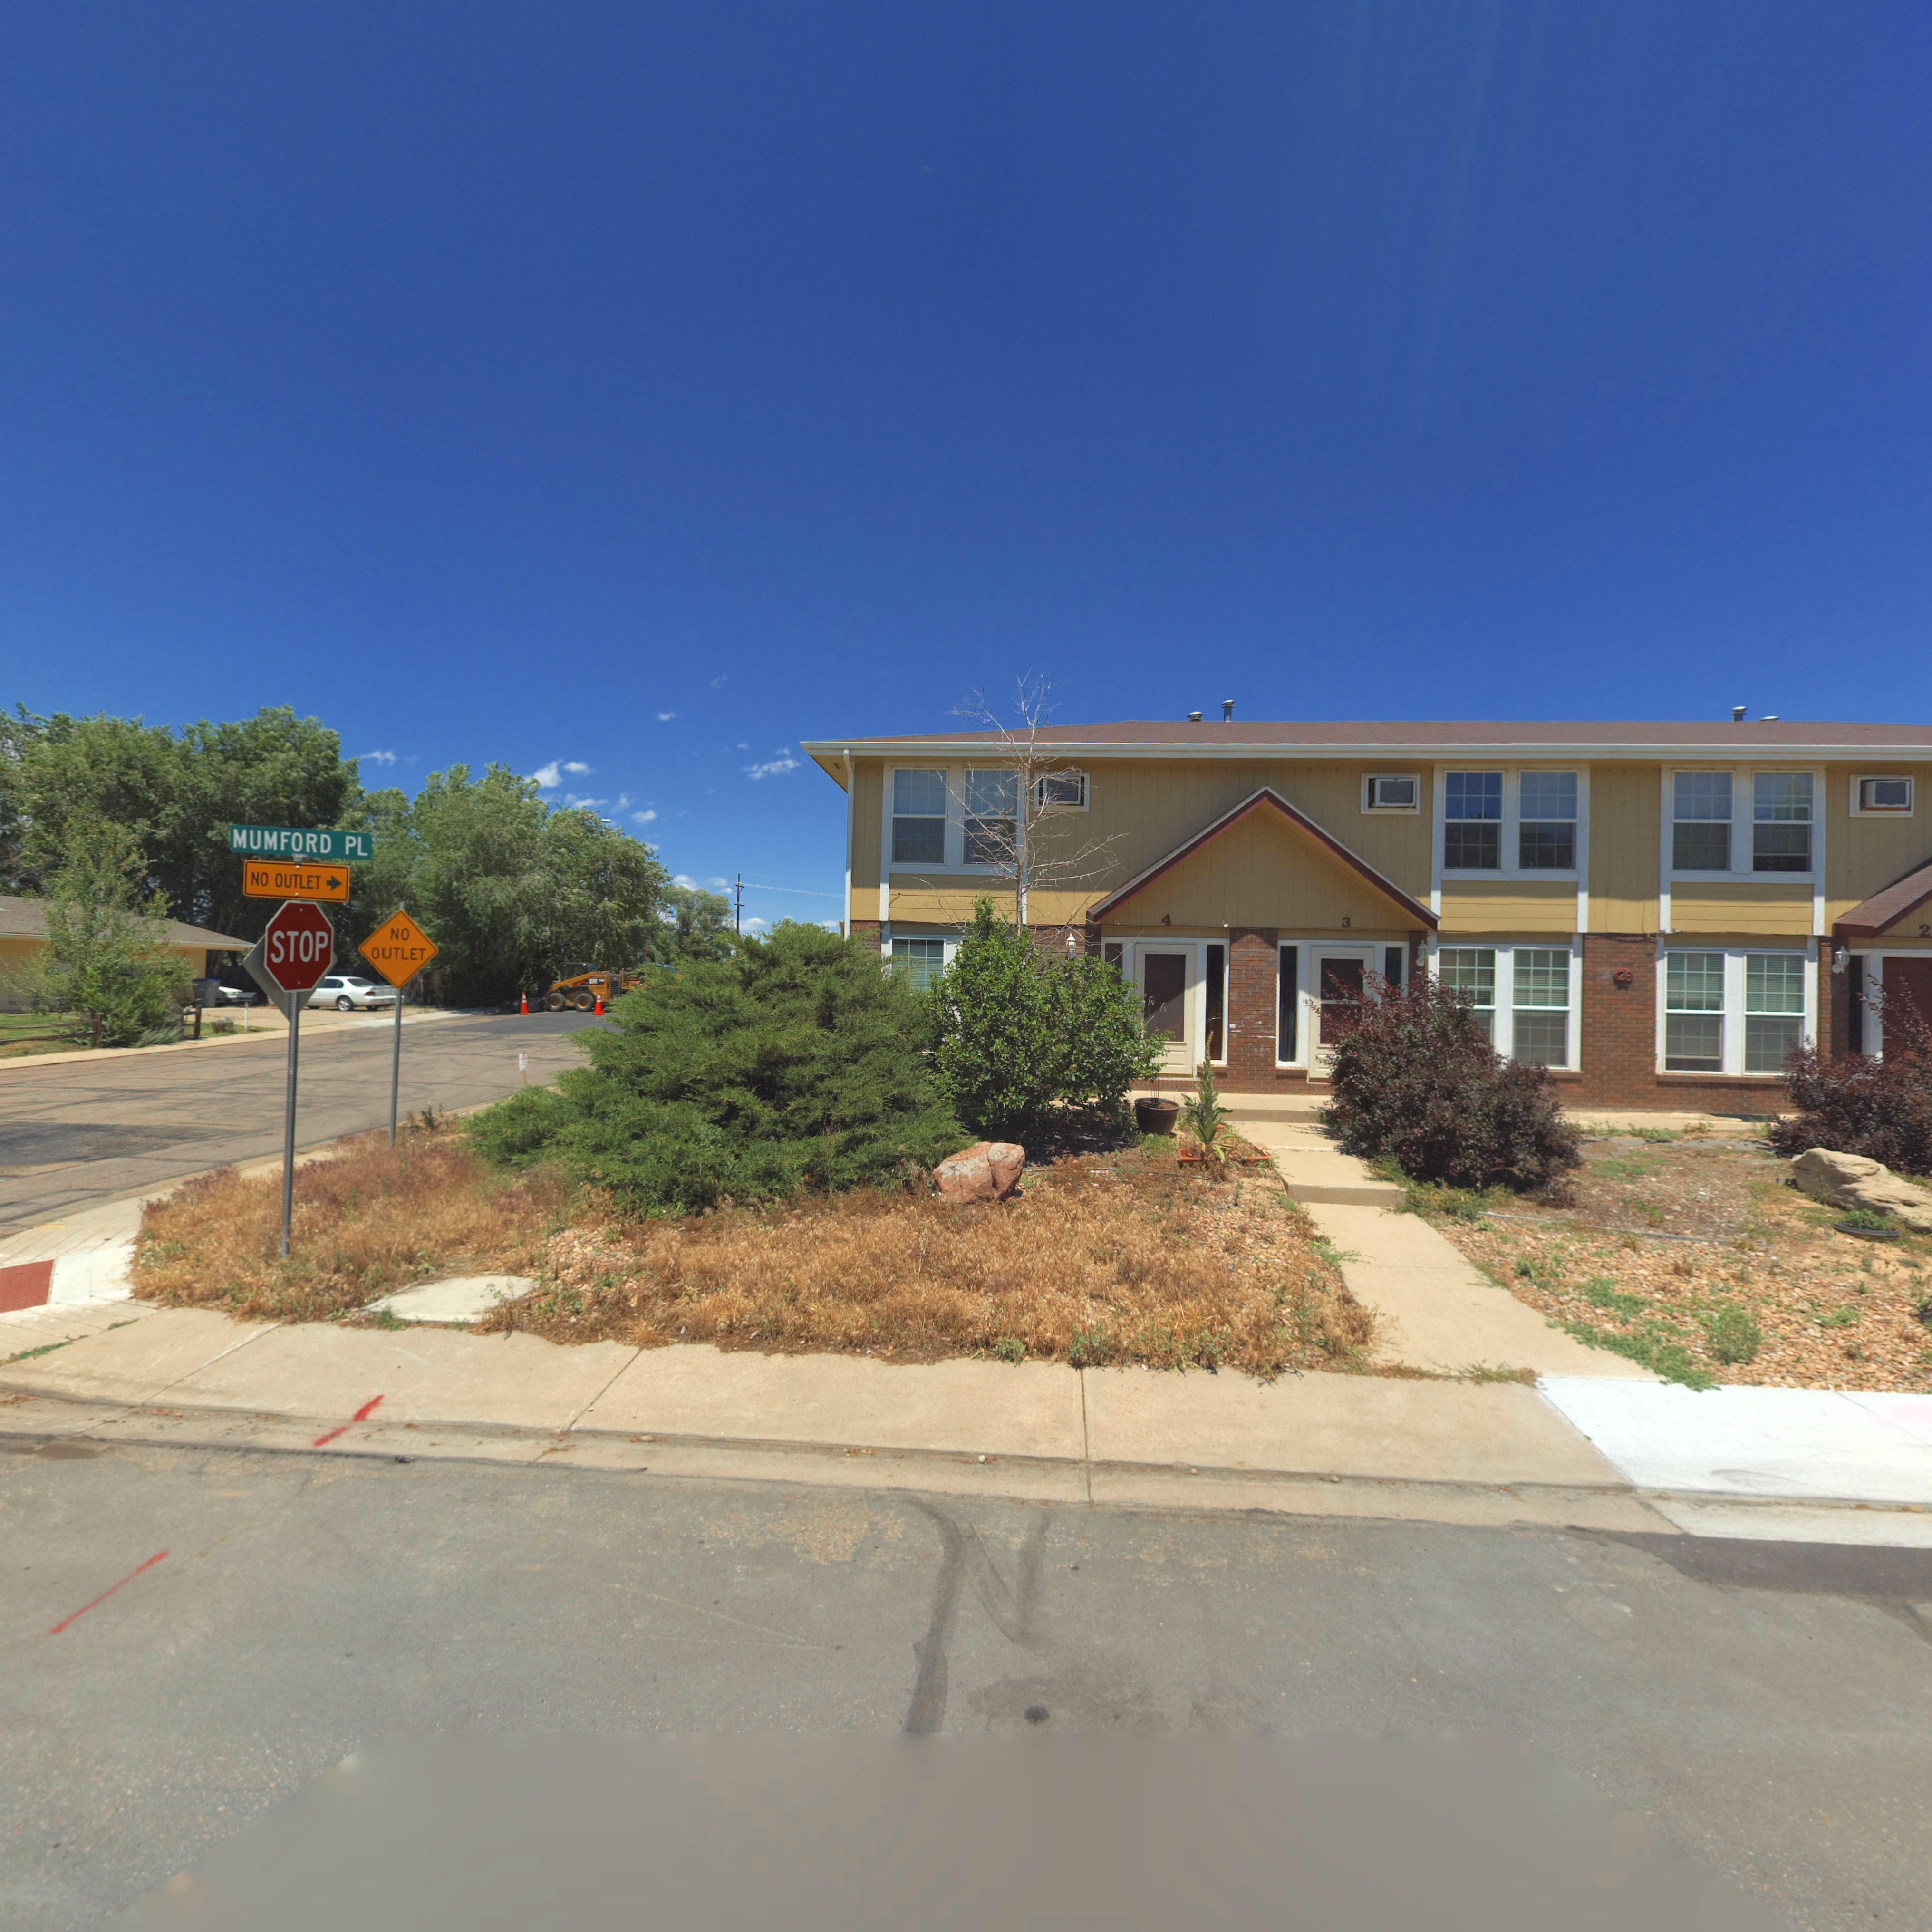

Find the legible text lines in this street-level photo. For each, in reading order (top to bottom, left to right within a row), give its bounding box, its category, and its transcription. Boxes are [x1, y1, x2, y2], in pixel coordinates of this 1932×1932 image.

[231, 825, 369, 856] StreetName: MUMFORD PL
[1159, 912, 1172, 927] StreetNumber: 4
[1341, 915, 1351, 928] StreetNumber: 3
[1916, 923, 1932, 938] StreetNumber: 2
[1616, 968, 1633, 982] StreetNumber: 26